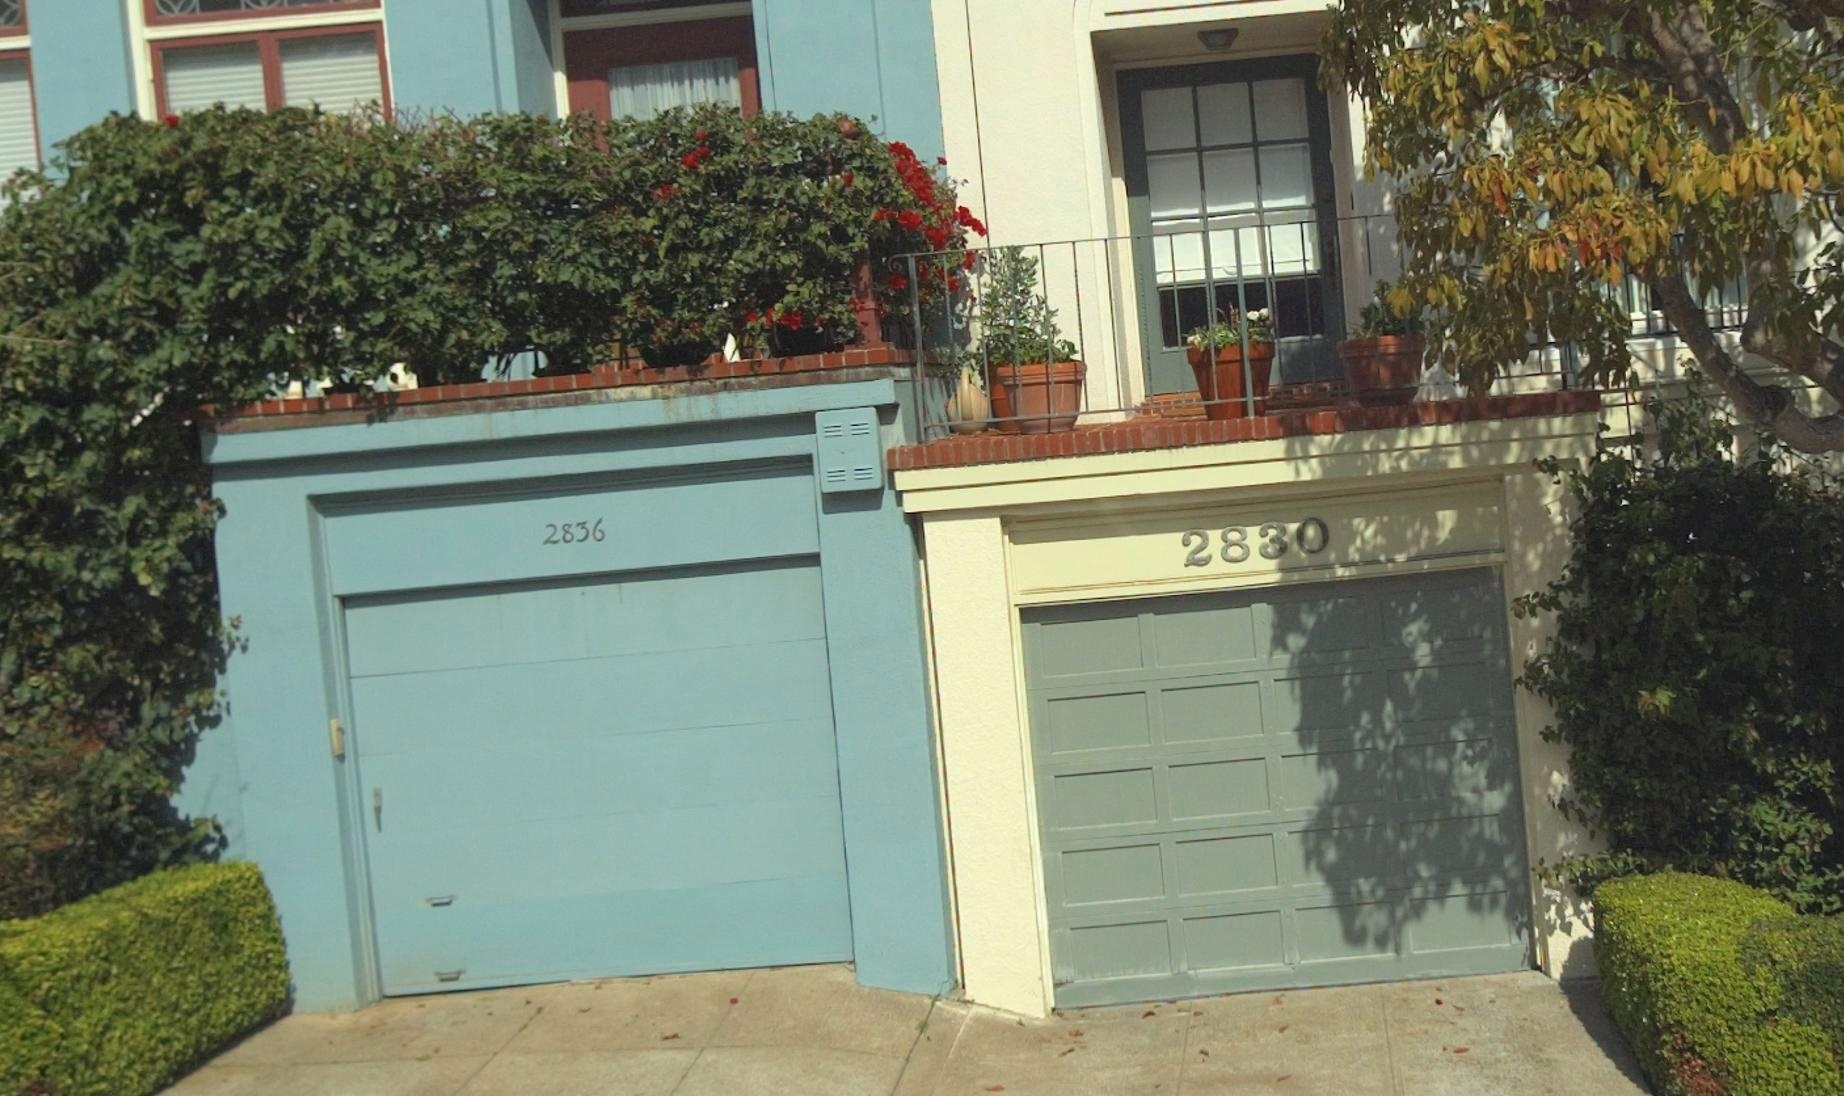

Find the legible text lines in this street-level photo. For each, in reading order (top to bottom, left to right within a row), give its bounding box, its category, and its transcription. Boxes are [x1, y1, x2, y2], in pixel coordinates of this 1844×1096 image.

[539, 513, 608, 551] StreetNumber: 2836
[1180, 513, 1331, 571] StreetNumber: 2830